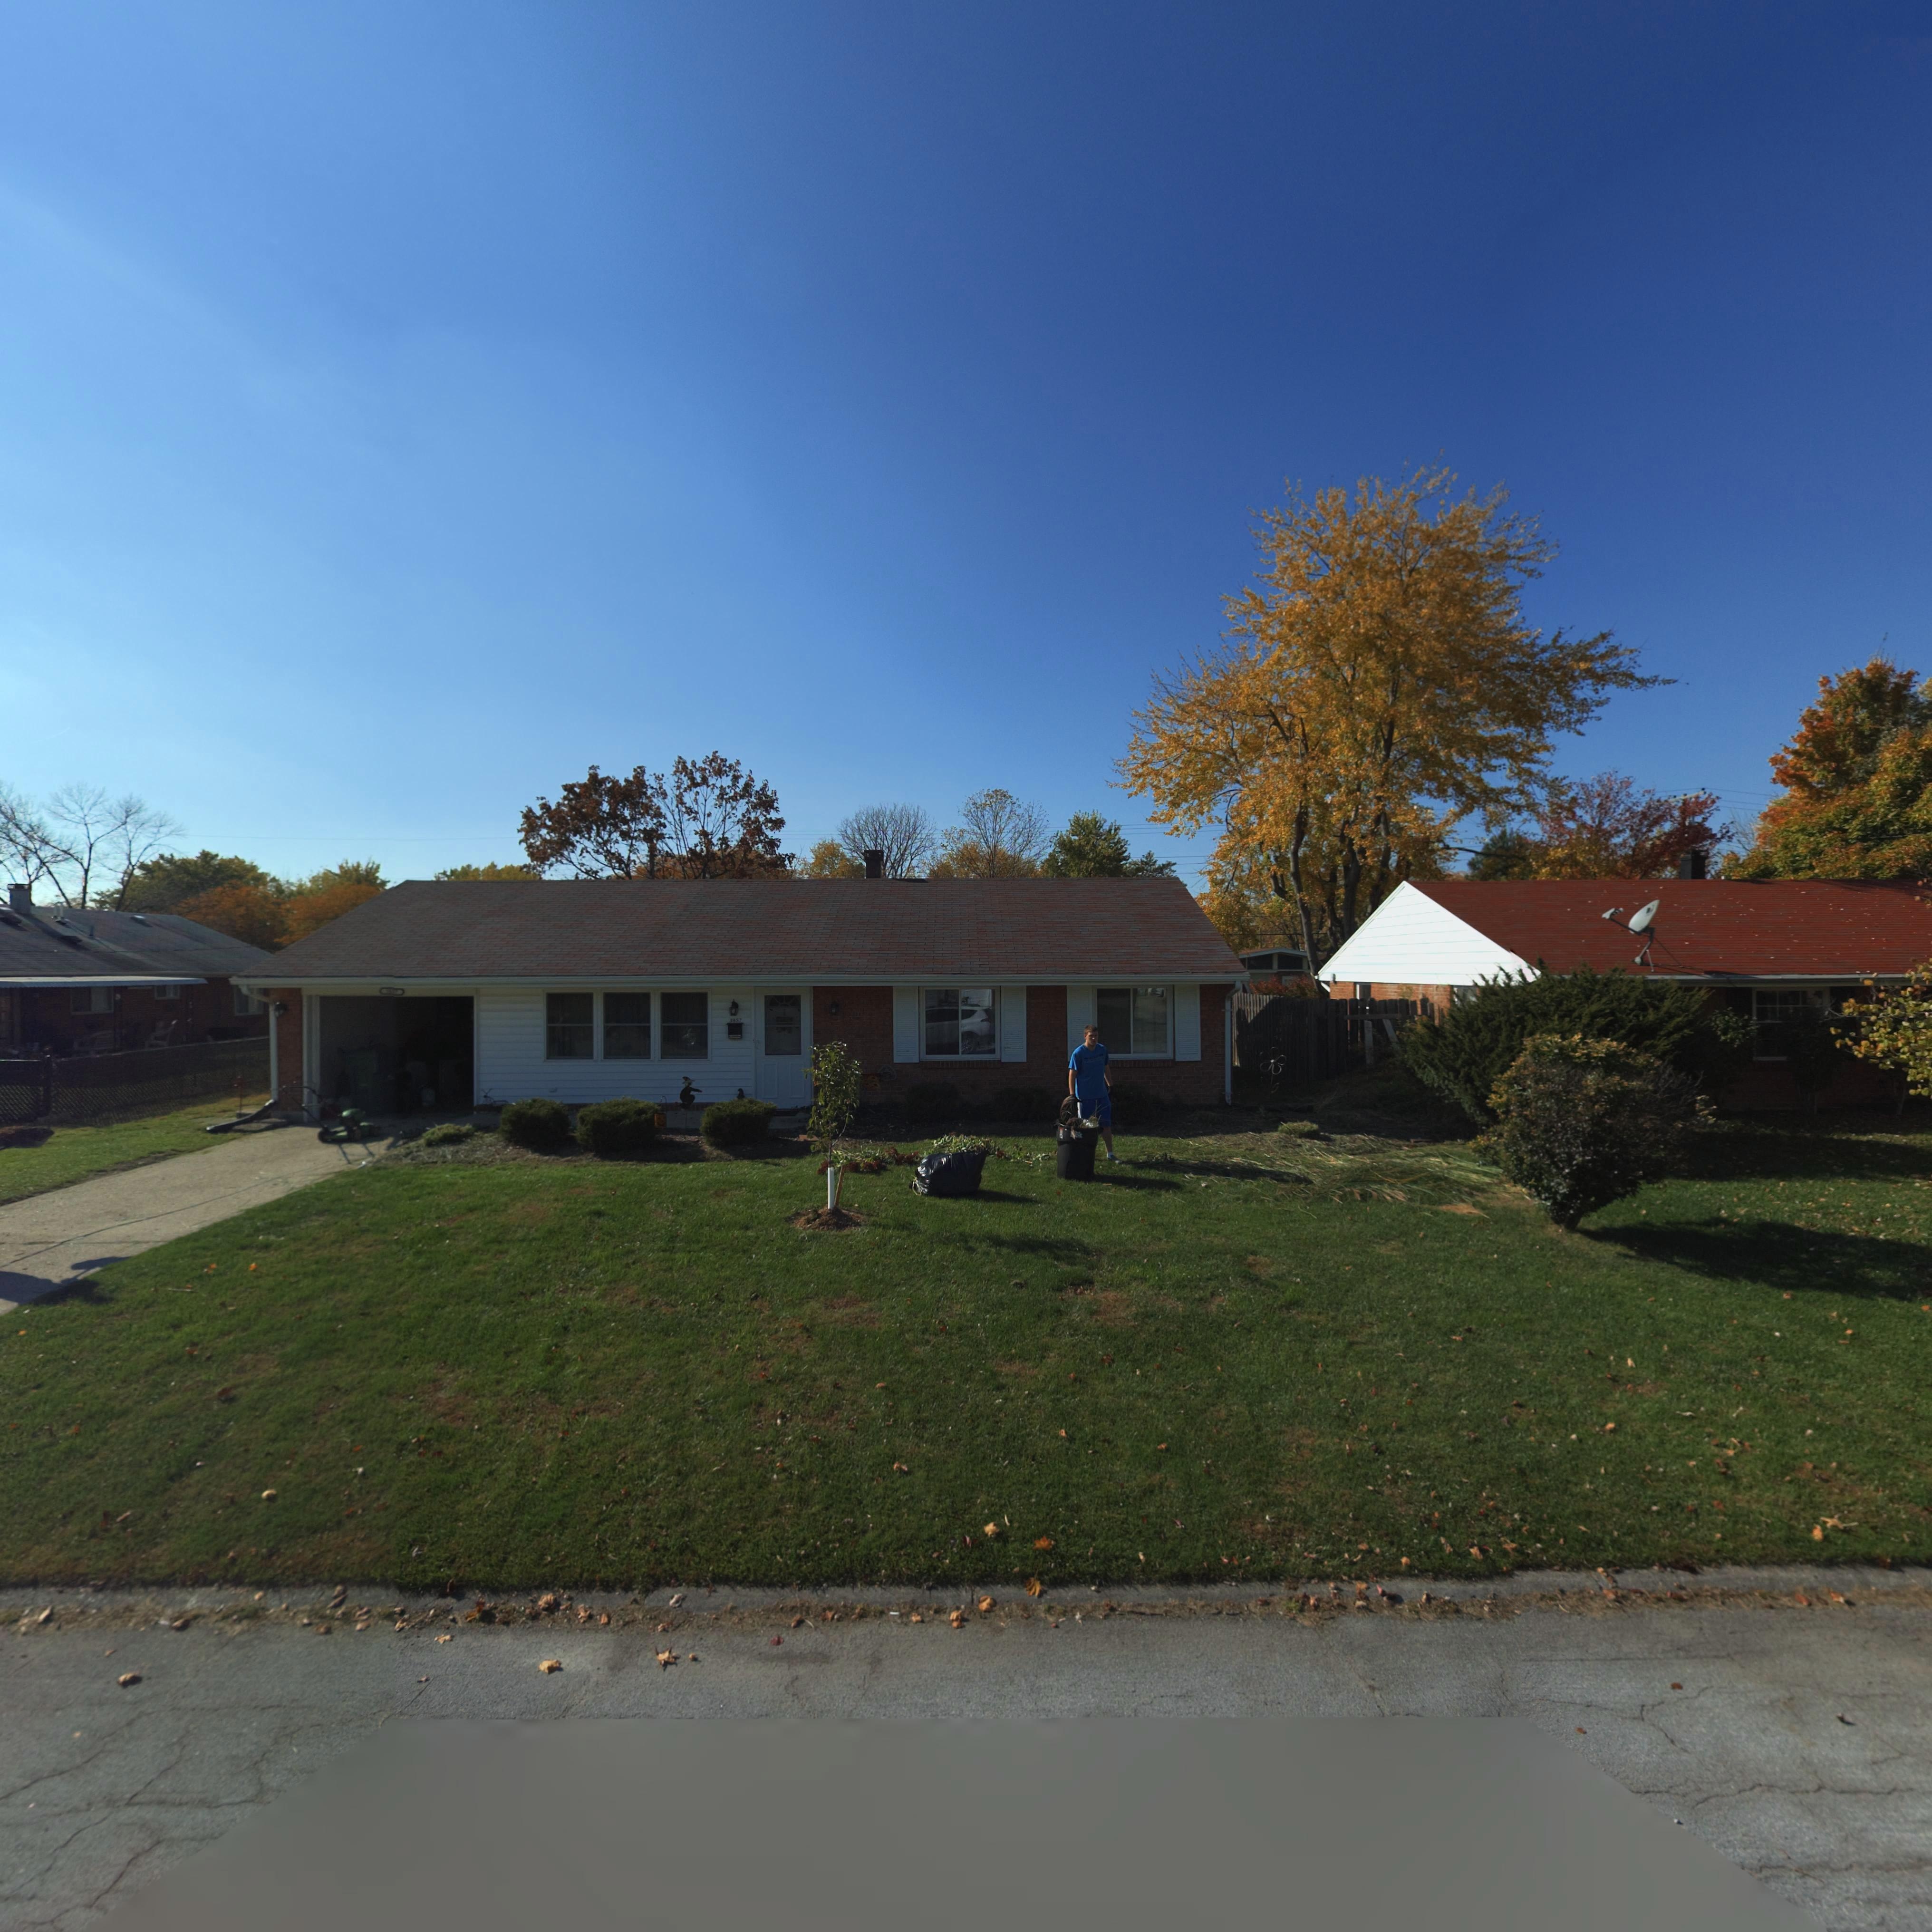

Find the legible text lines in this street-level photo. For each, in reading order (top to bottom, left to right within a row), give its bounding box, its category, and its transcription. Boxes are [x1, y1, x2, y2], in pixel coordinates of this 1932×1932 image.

[729, 1018, 743, 1023] StreetNumber: 3857